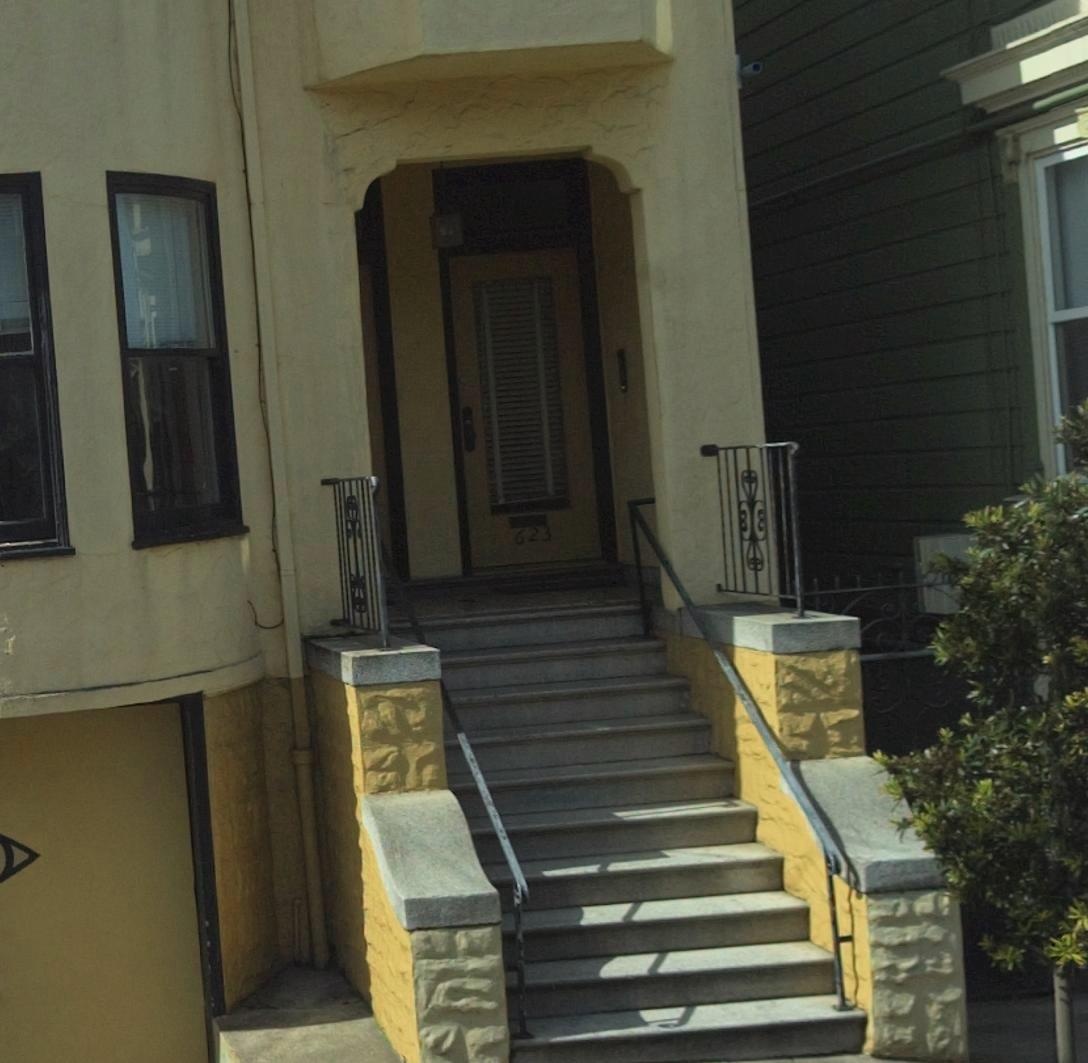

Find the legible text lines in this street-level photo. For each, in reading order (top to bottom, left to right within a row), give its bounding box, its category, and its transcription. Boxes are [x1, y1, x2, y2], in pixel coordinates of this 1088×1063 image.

[512, 522, 554, 548] StreetNumber: 623